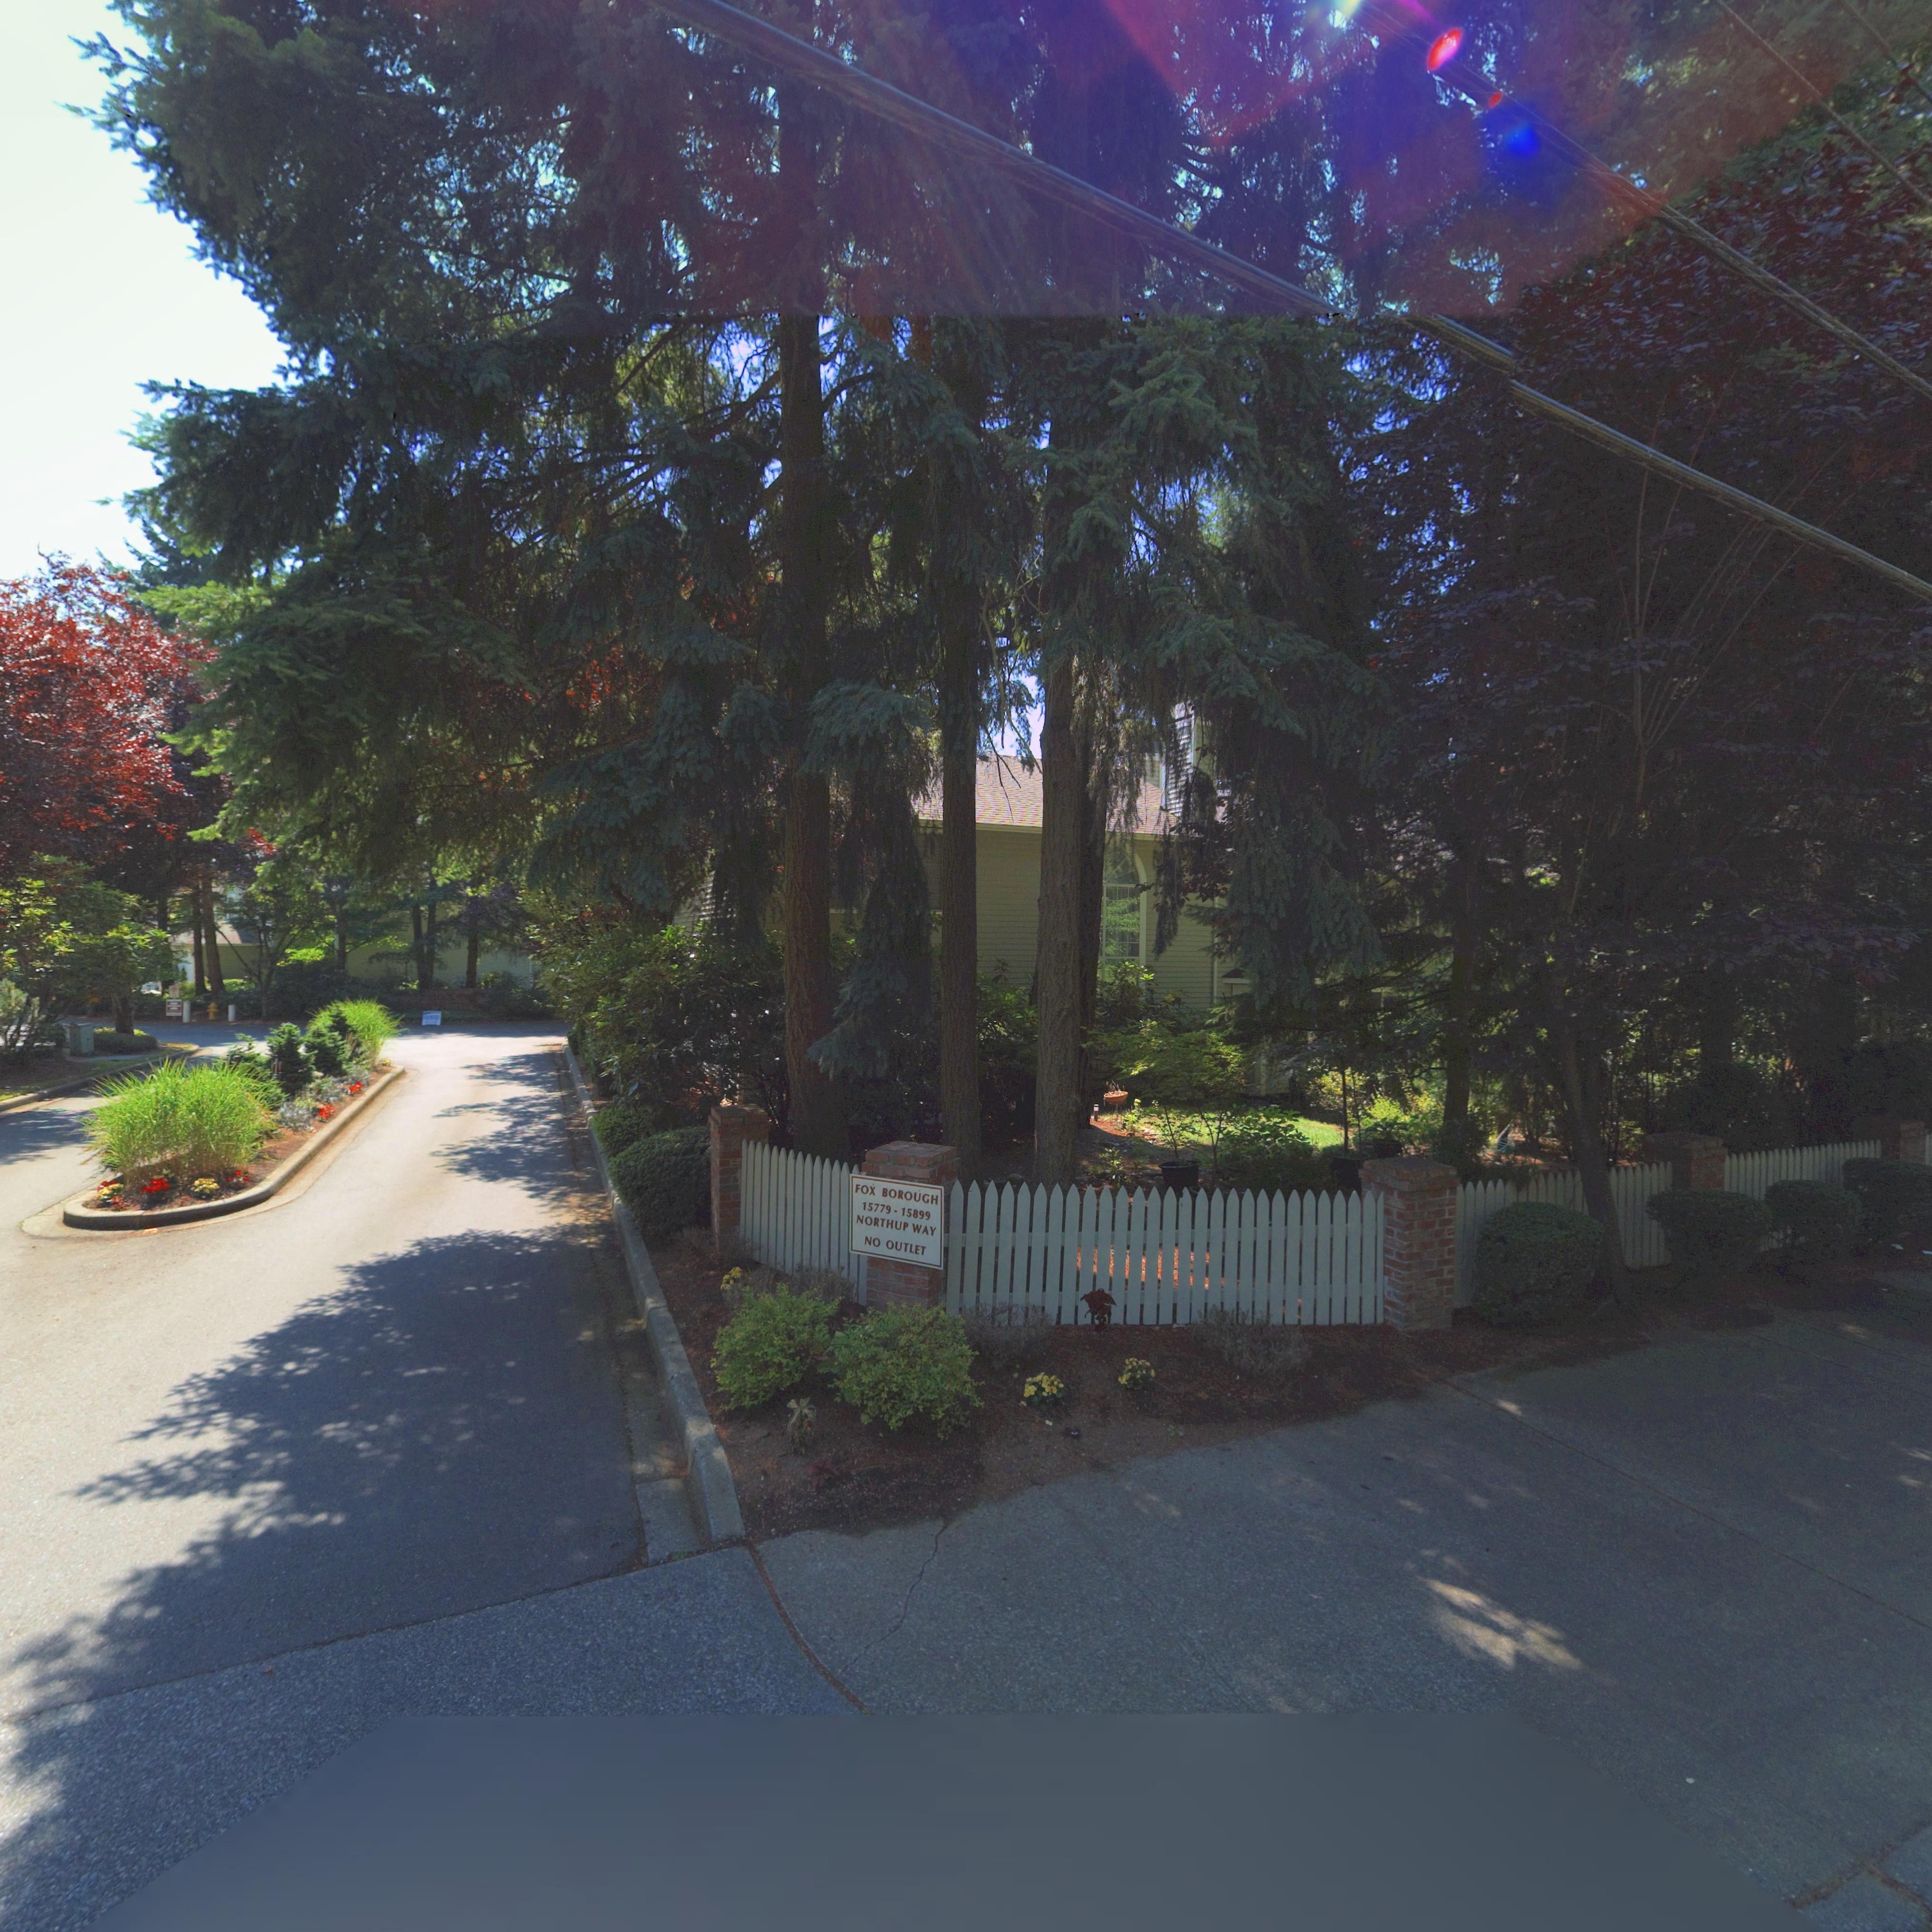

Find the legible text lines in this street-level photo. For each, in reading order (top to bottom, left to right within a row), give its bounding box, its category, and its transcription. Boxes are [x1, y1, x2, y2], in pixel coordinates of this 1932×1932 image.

[861, 1200, 931, 1220] StreetNumber: 15779-15899
[855, 1213, 937, 1236] StreetName: NORTHUP WAY